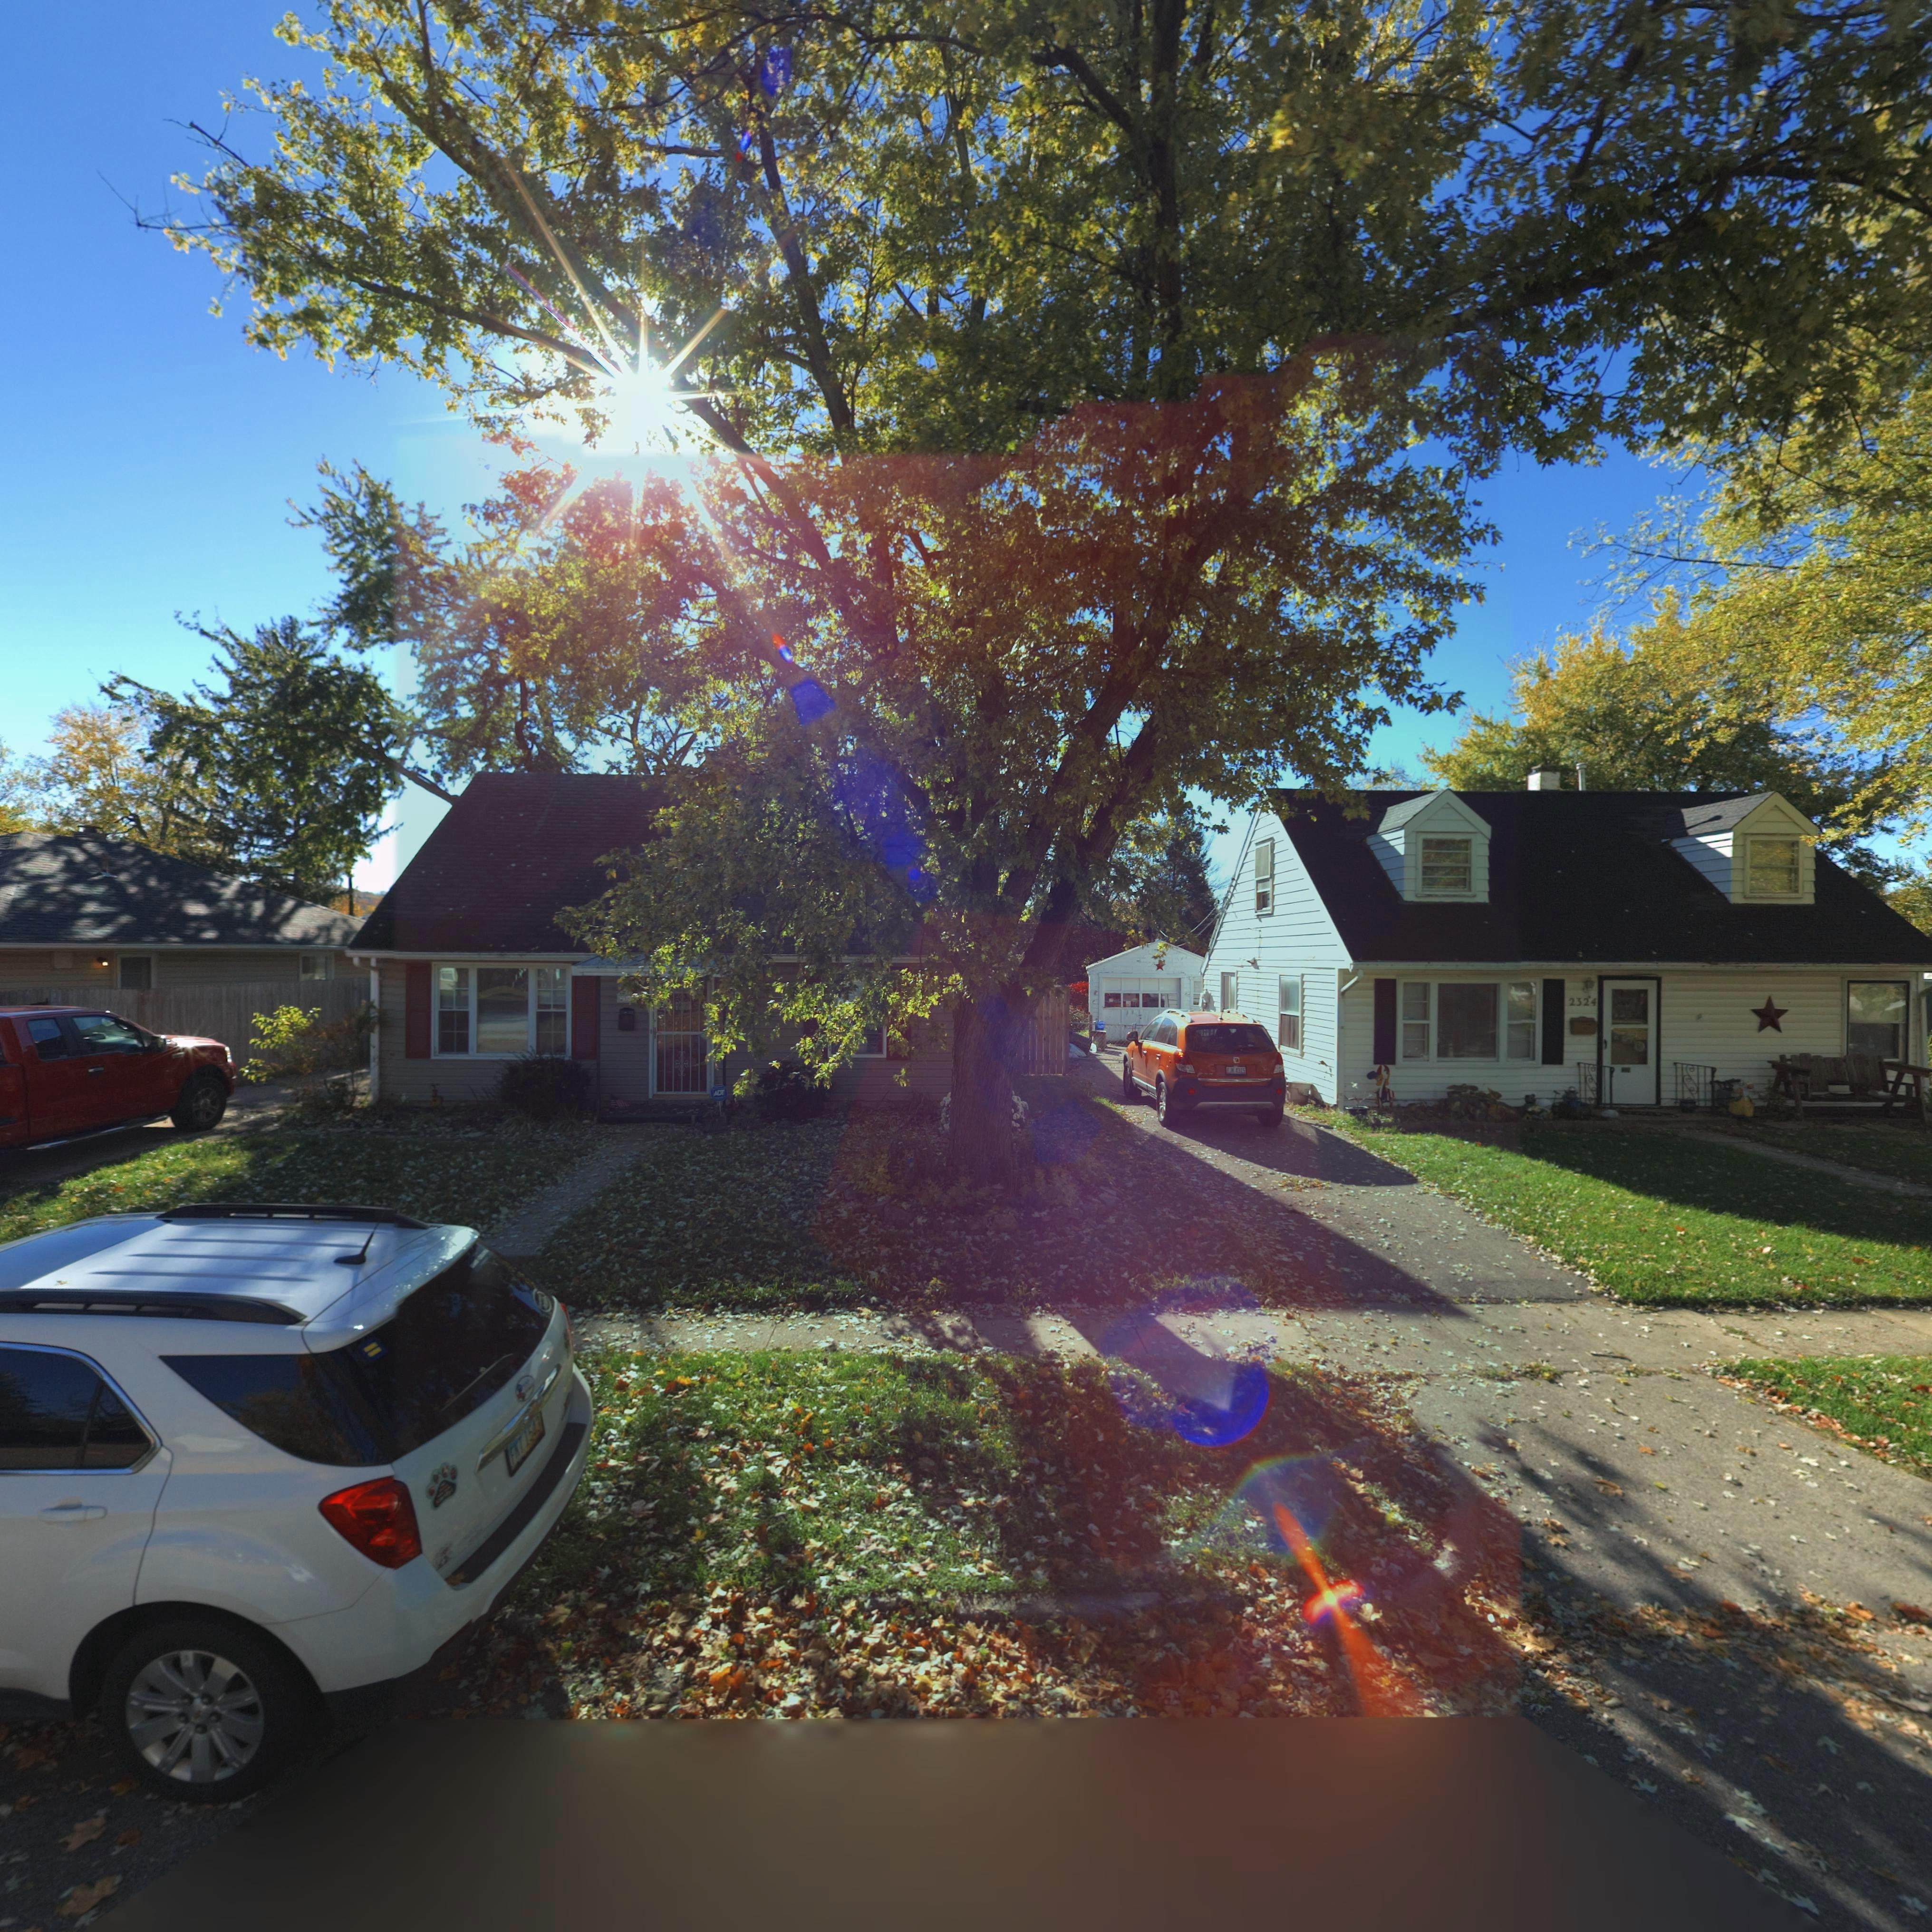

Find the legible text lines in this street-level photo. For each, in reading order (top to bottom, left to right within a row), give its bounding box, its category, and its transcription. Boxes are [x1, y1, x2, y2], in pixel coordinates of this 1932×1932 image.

[1568, 997, 1597, 1007] StreetNumber: 2324